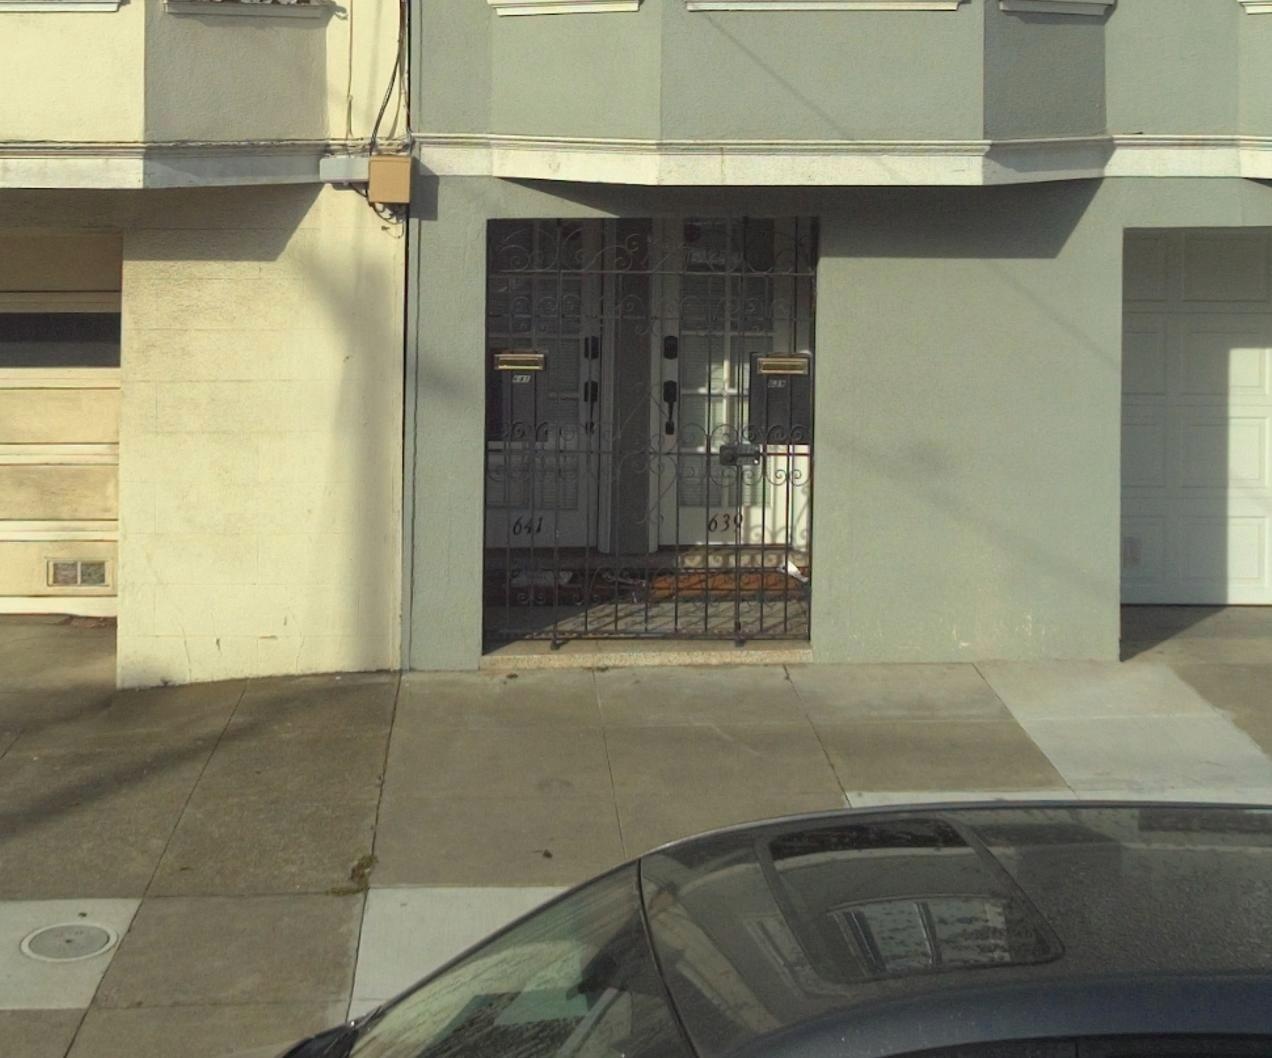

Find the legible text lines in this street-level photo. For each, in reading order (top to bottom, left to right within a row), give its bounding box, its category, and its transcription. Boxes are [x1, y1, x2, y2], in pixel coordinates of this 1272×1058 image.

[510, 513, 544, 537] StreetNumber: 641
[705, 510, 746, 535] StreetNumber: 63*